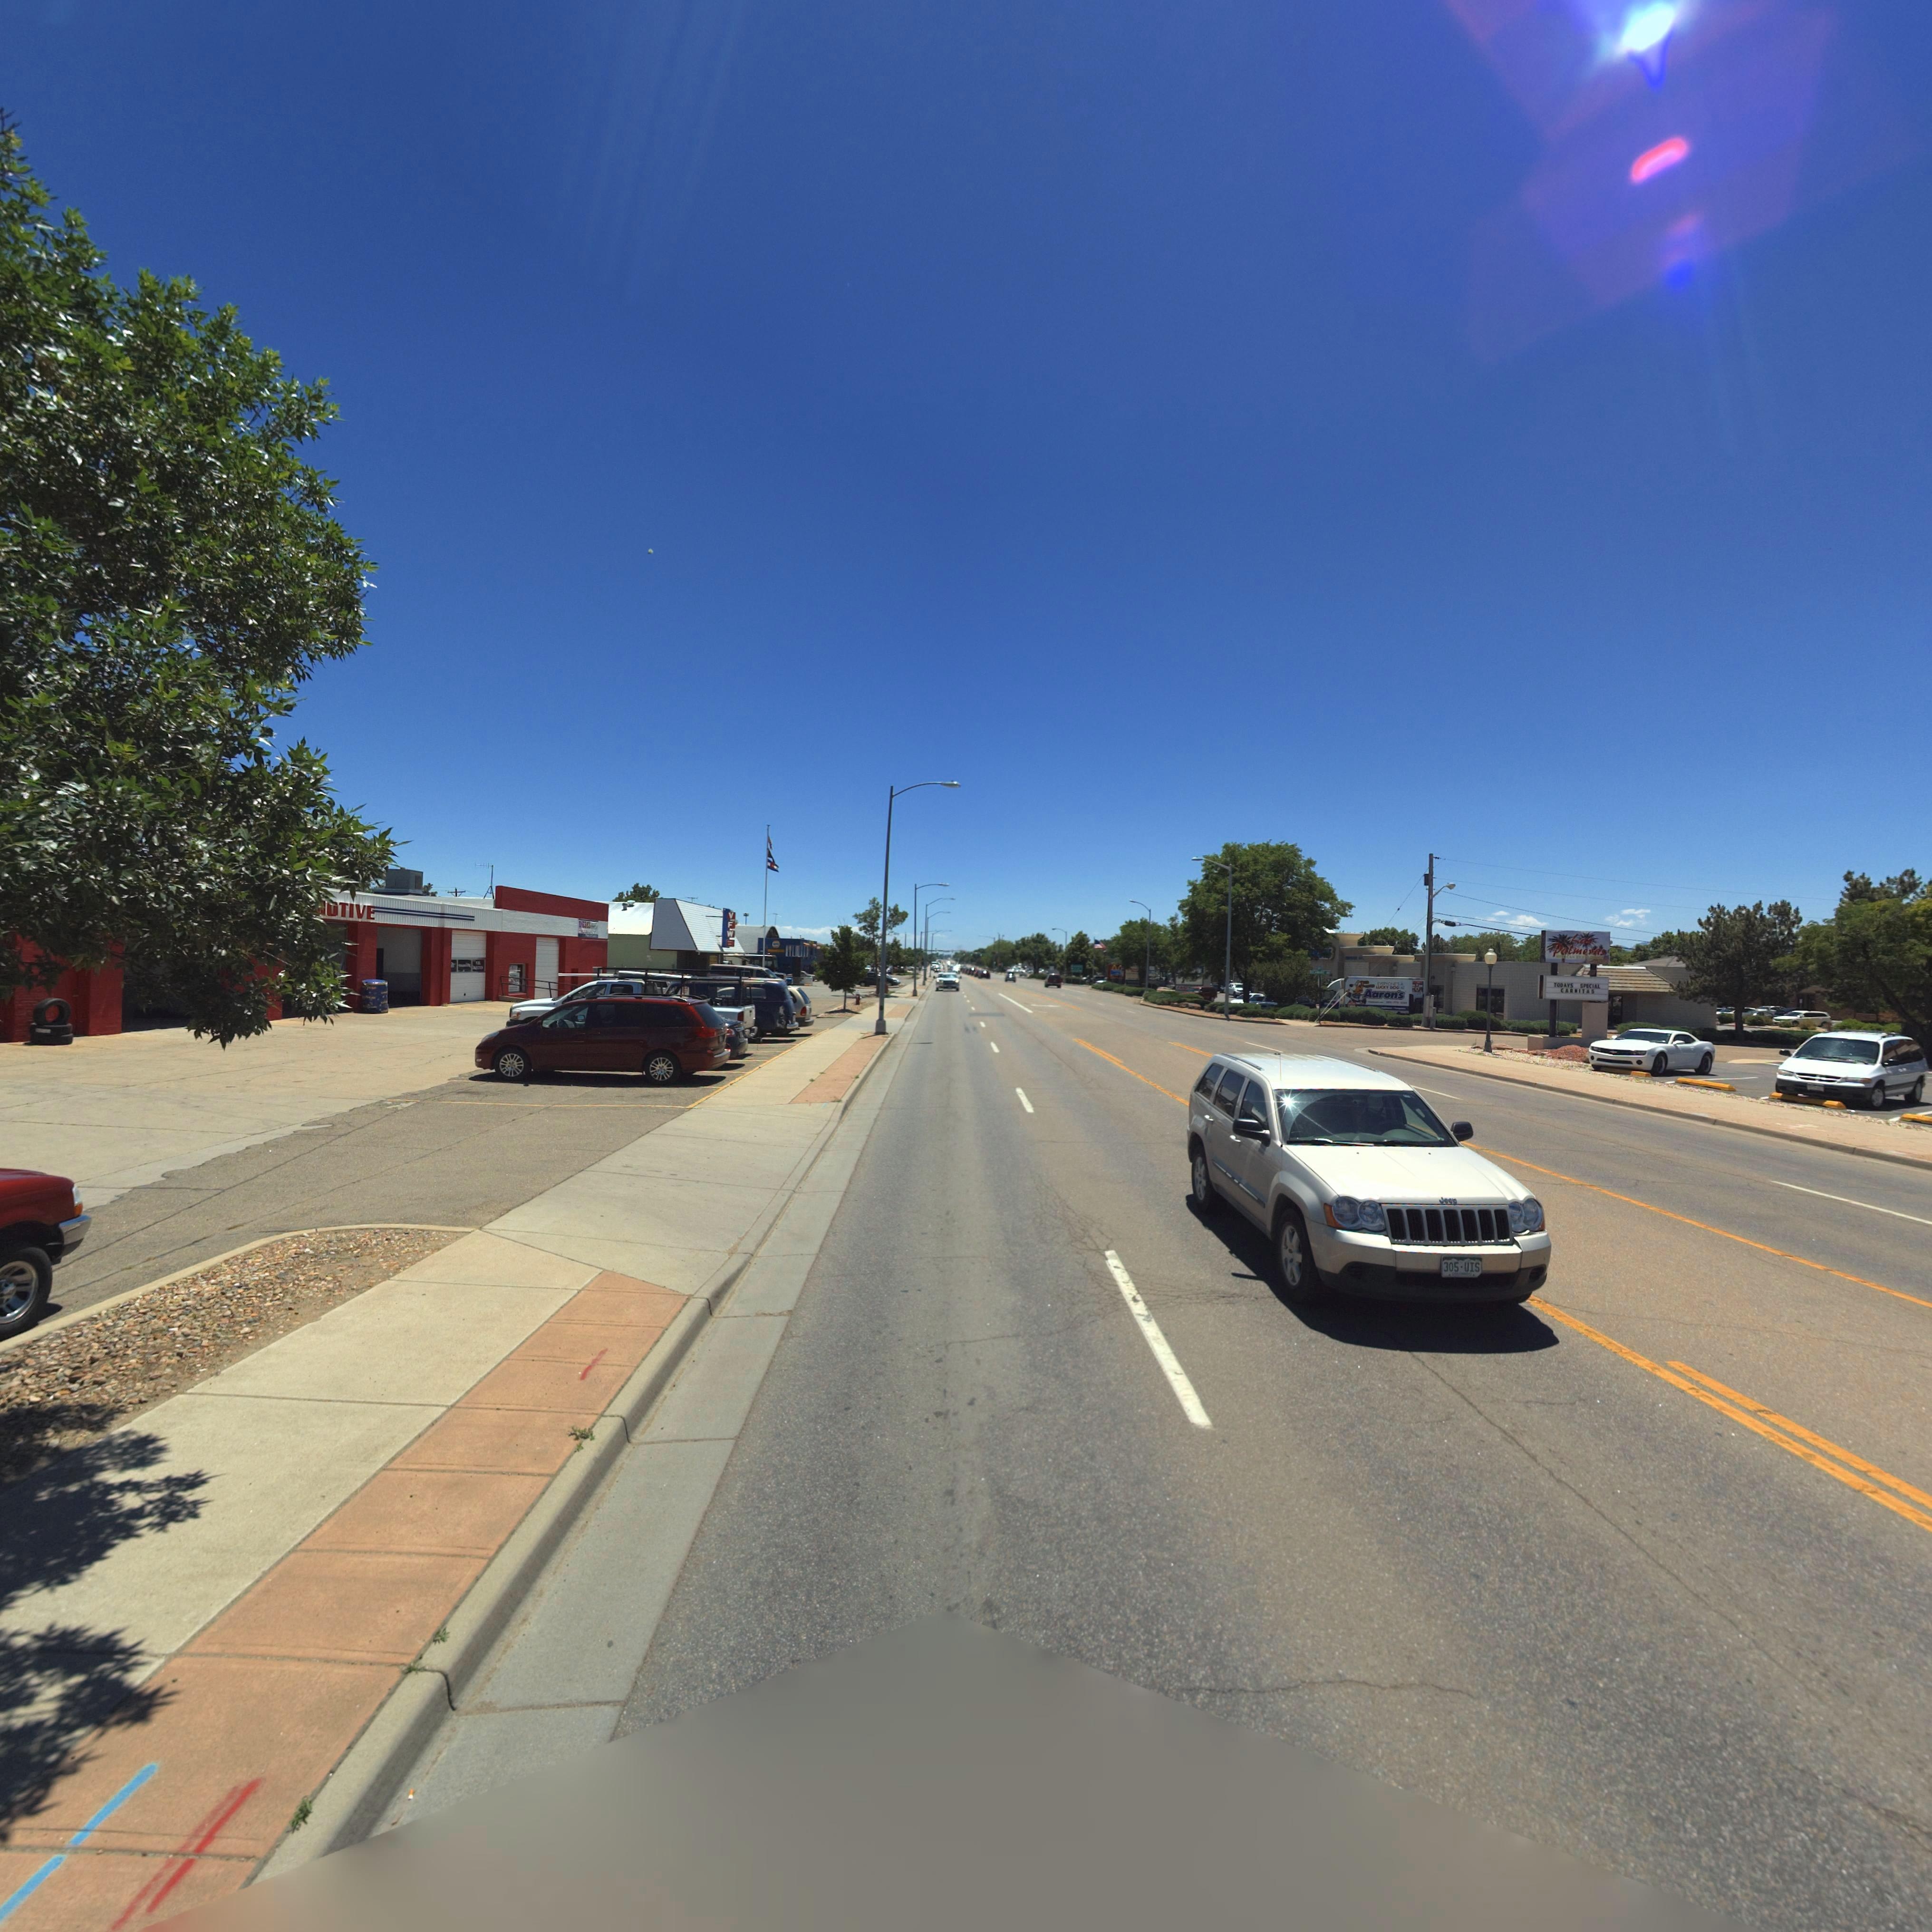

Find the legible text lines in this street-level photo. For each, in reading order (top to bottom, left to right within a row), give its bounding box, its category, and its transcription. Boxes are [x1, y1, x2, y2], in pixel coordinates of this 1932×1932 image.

[316, 900, 375, 919] BusinessName: **TIVE
[579, 921, 590, 928] BusinessName: DIESEL
[726, 912, 734, 937] BusinessName: VFW
[1571, 933, 1593, 944] BusinessName: Las
[1552, 942, 1606, 956] BusinessName: Palmeras
[1177, 985, 1186, 989] BusinessName: FAS